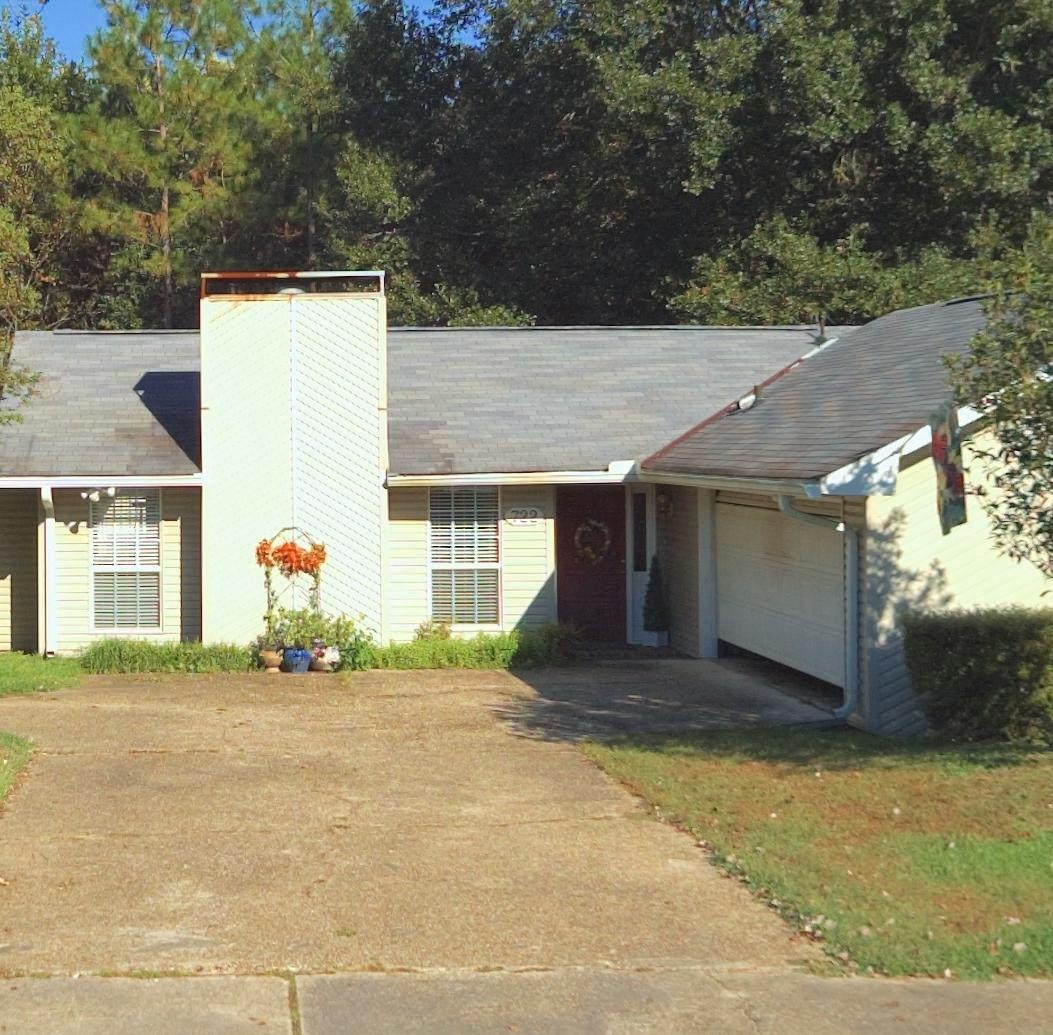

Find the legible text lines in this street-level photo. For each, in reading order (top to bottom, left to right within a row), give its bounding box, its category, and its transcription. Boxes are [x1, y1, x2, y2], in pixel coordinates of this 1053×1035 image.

[509, 508, 540, 525] StreetNumber: 722